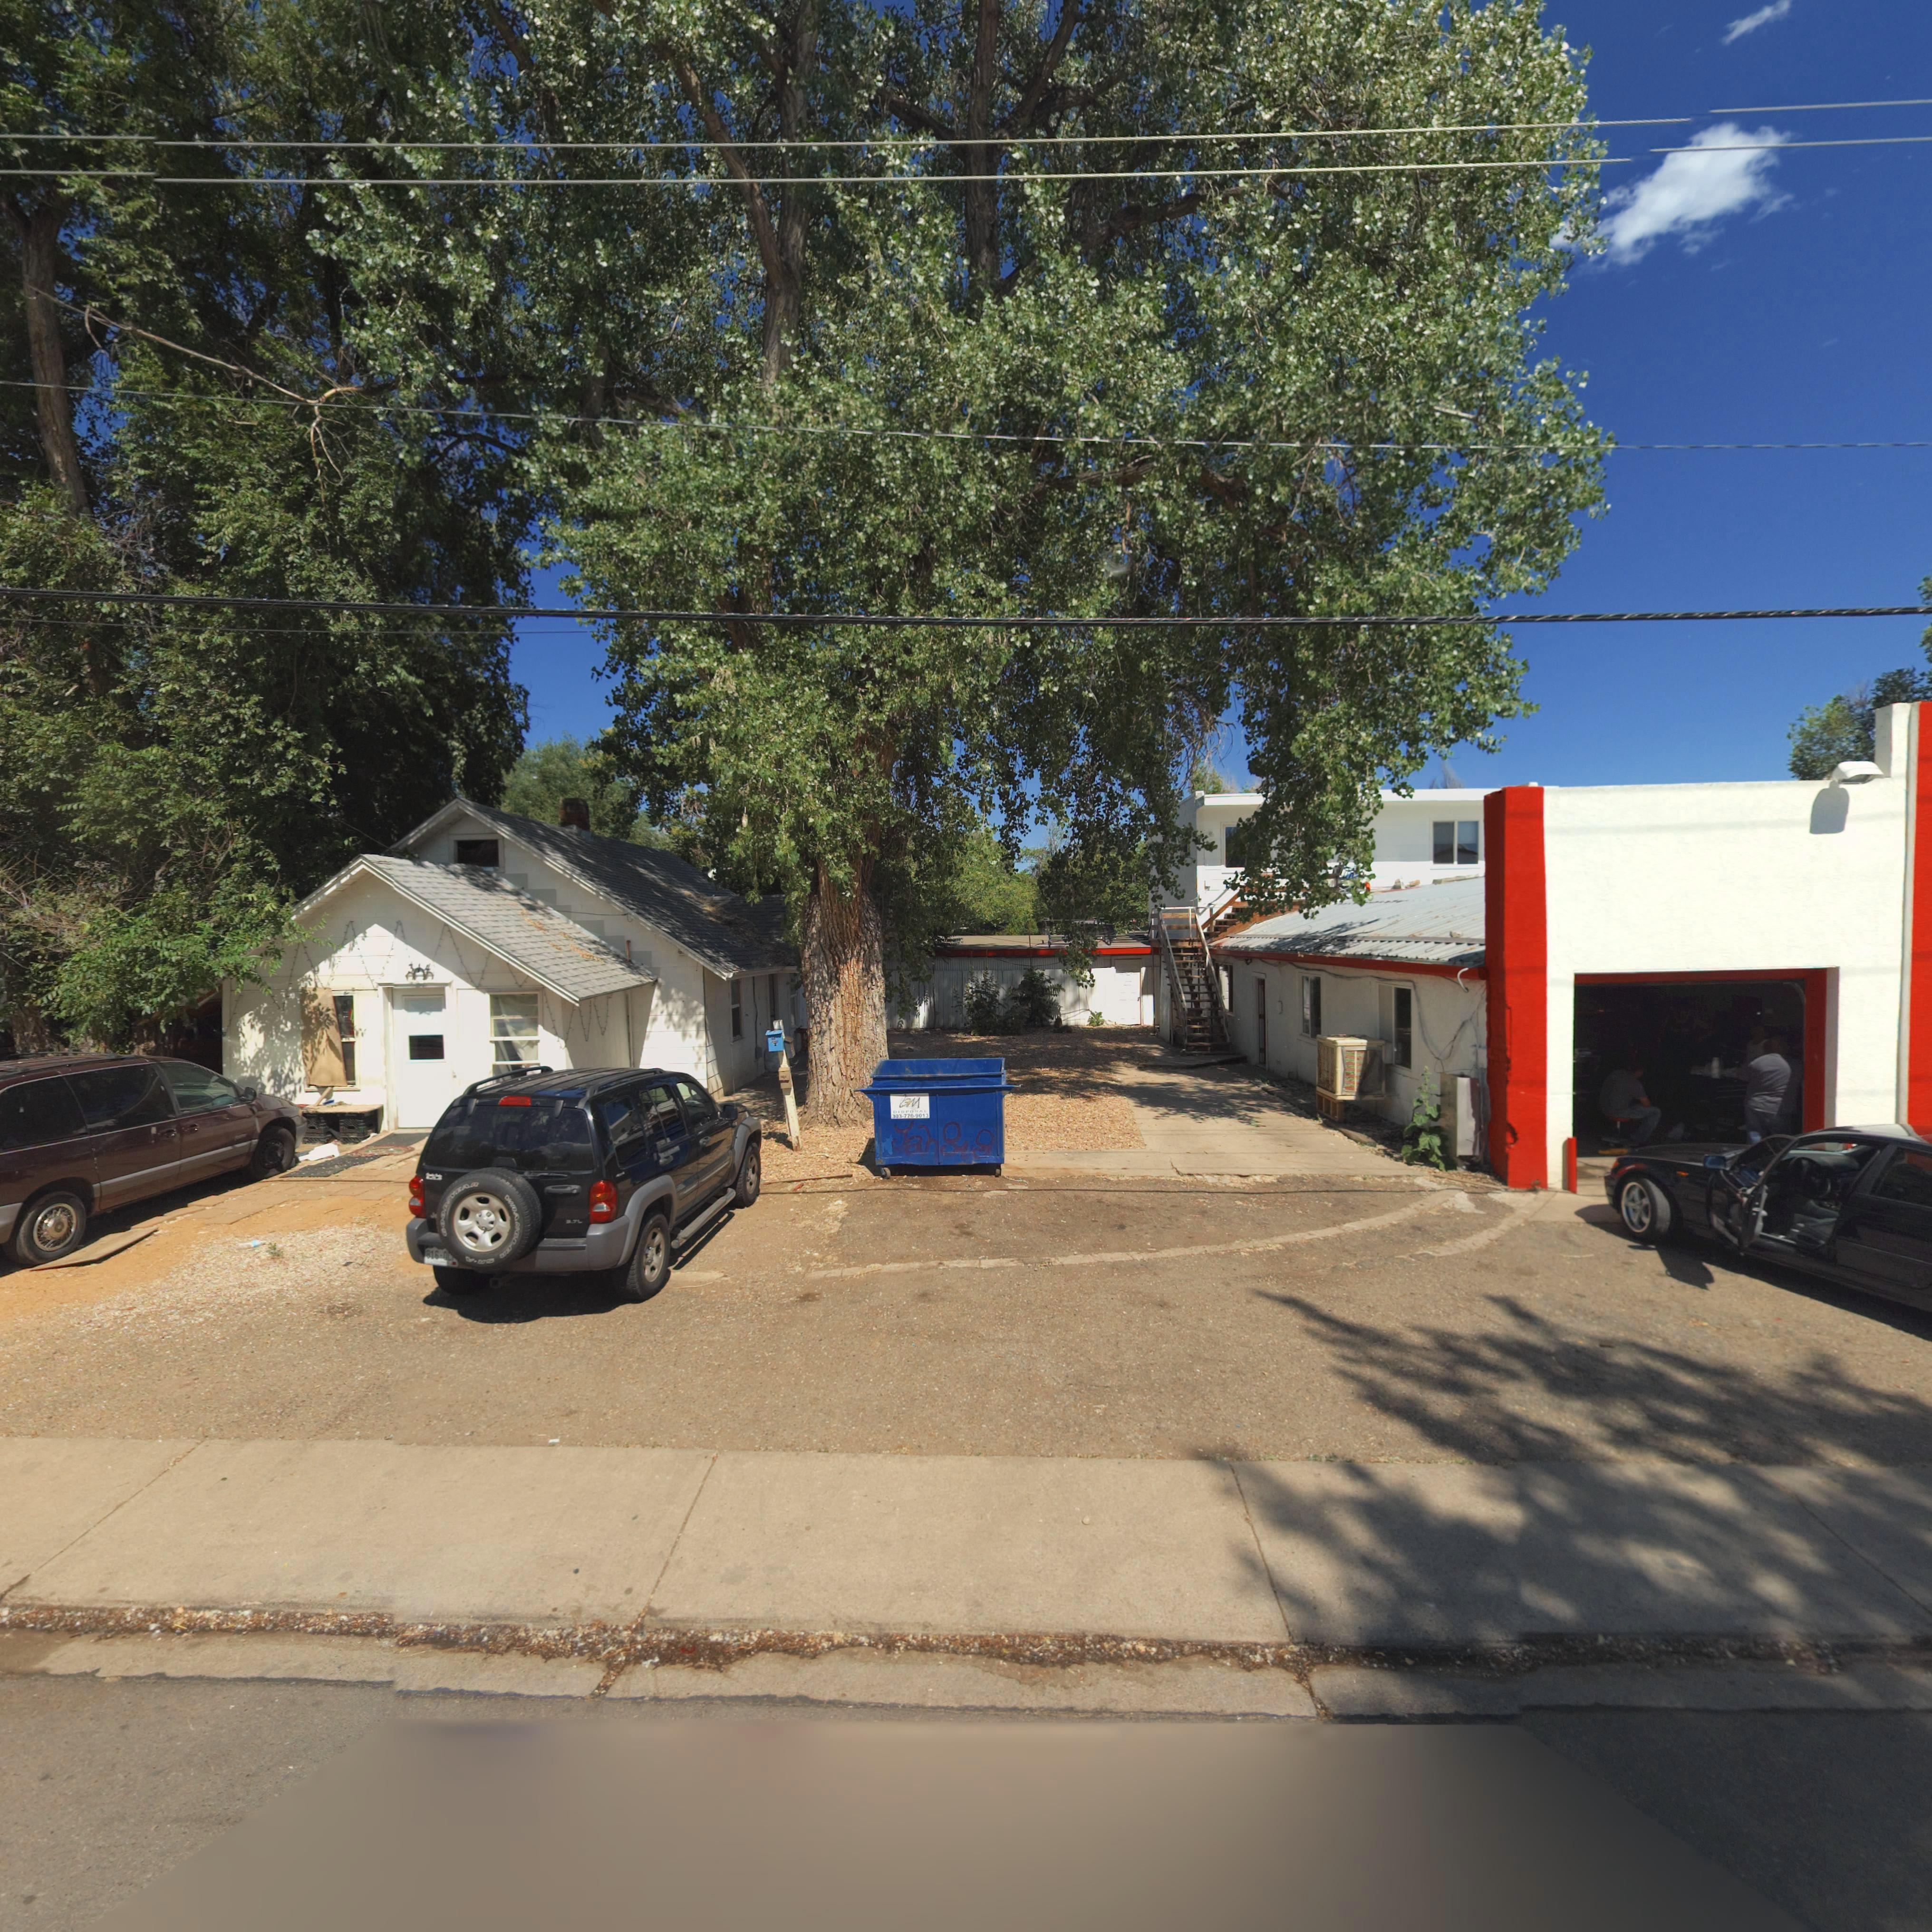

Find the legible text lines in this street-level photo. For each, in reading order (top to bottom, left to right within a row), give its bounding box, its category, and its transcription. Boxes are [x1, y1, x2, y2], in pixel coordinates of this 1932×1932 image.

[406, 963, 433, 973] StreetNumber: 314